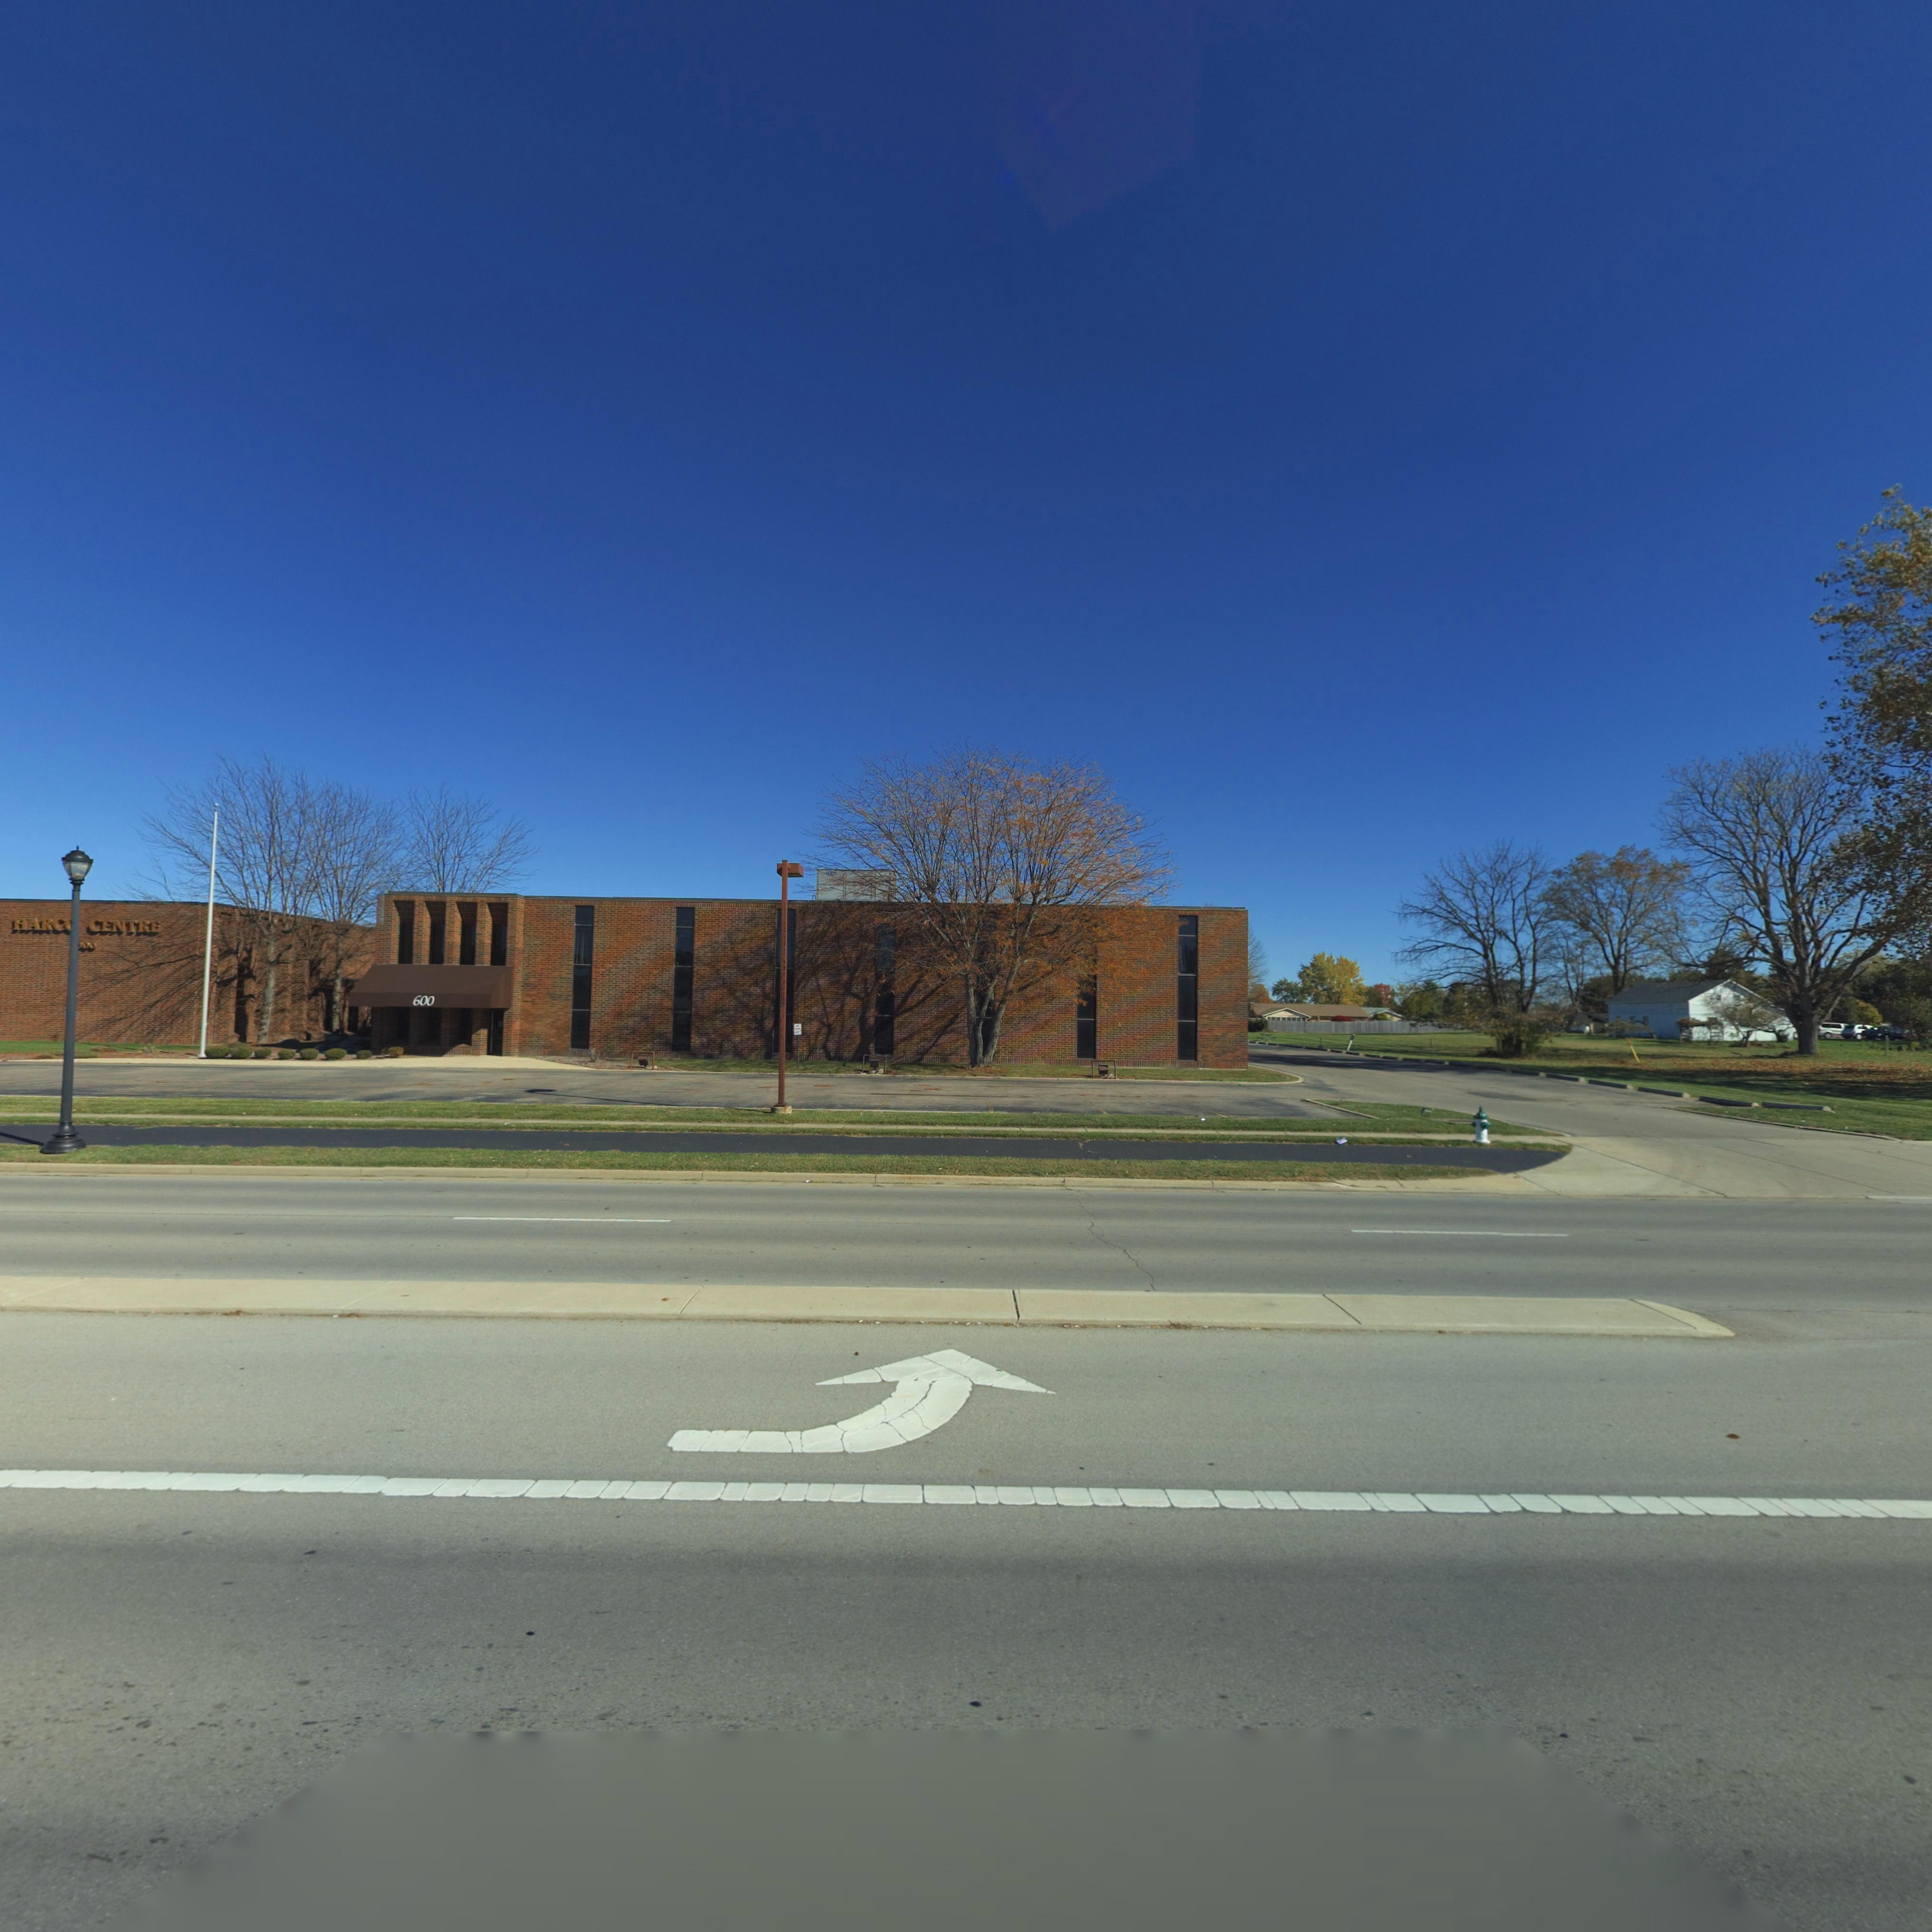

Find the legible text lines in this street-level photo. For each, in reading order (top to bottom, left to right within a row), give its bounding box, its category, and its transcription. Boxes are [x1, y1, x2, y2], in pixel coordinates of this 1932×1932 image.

[11, 917, 162, 934] BusinessName: HARC* CENTRE
[82, 941, 97, 949] StreetNumber: 00
[412, 994, 436, 1007] StreetNumber: 600